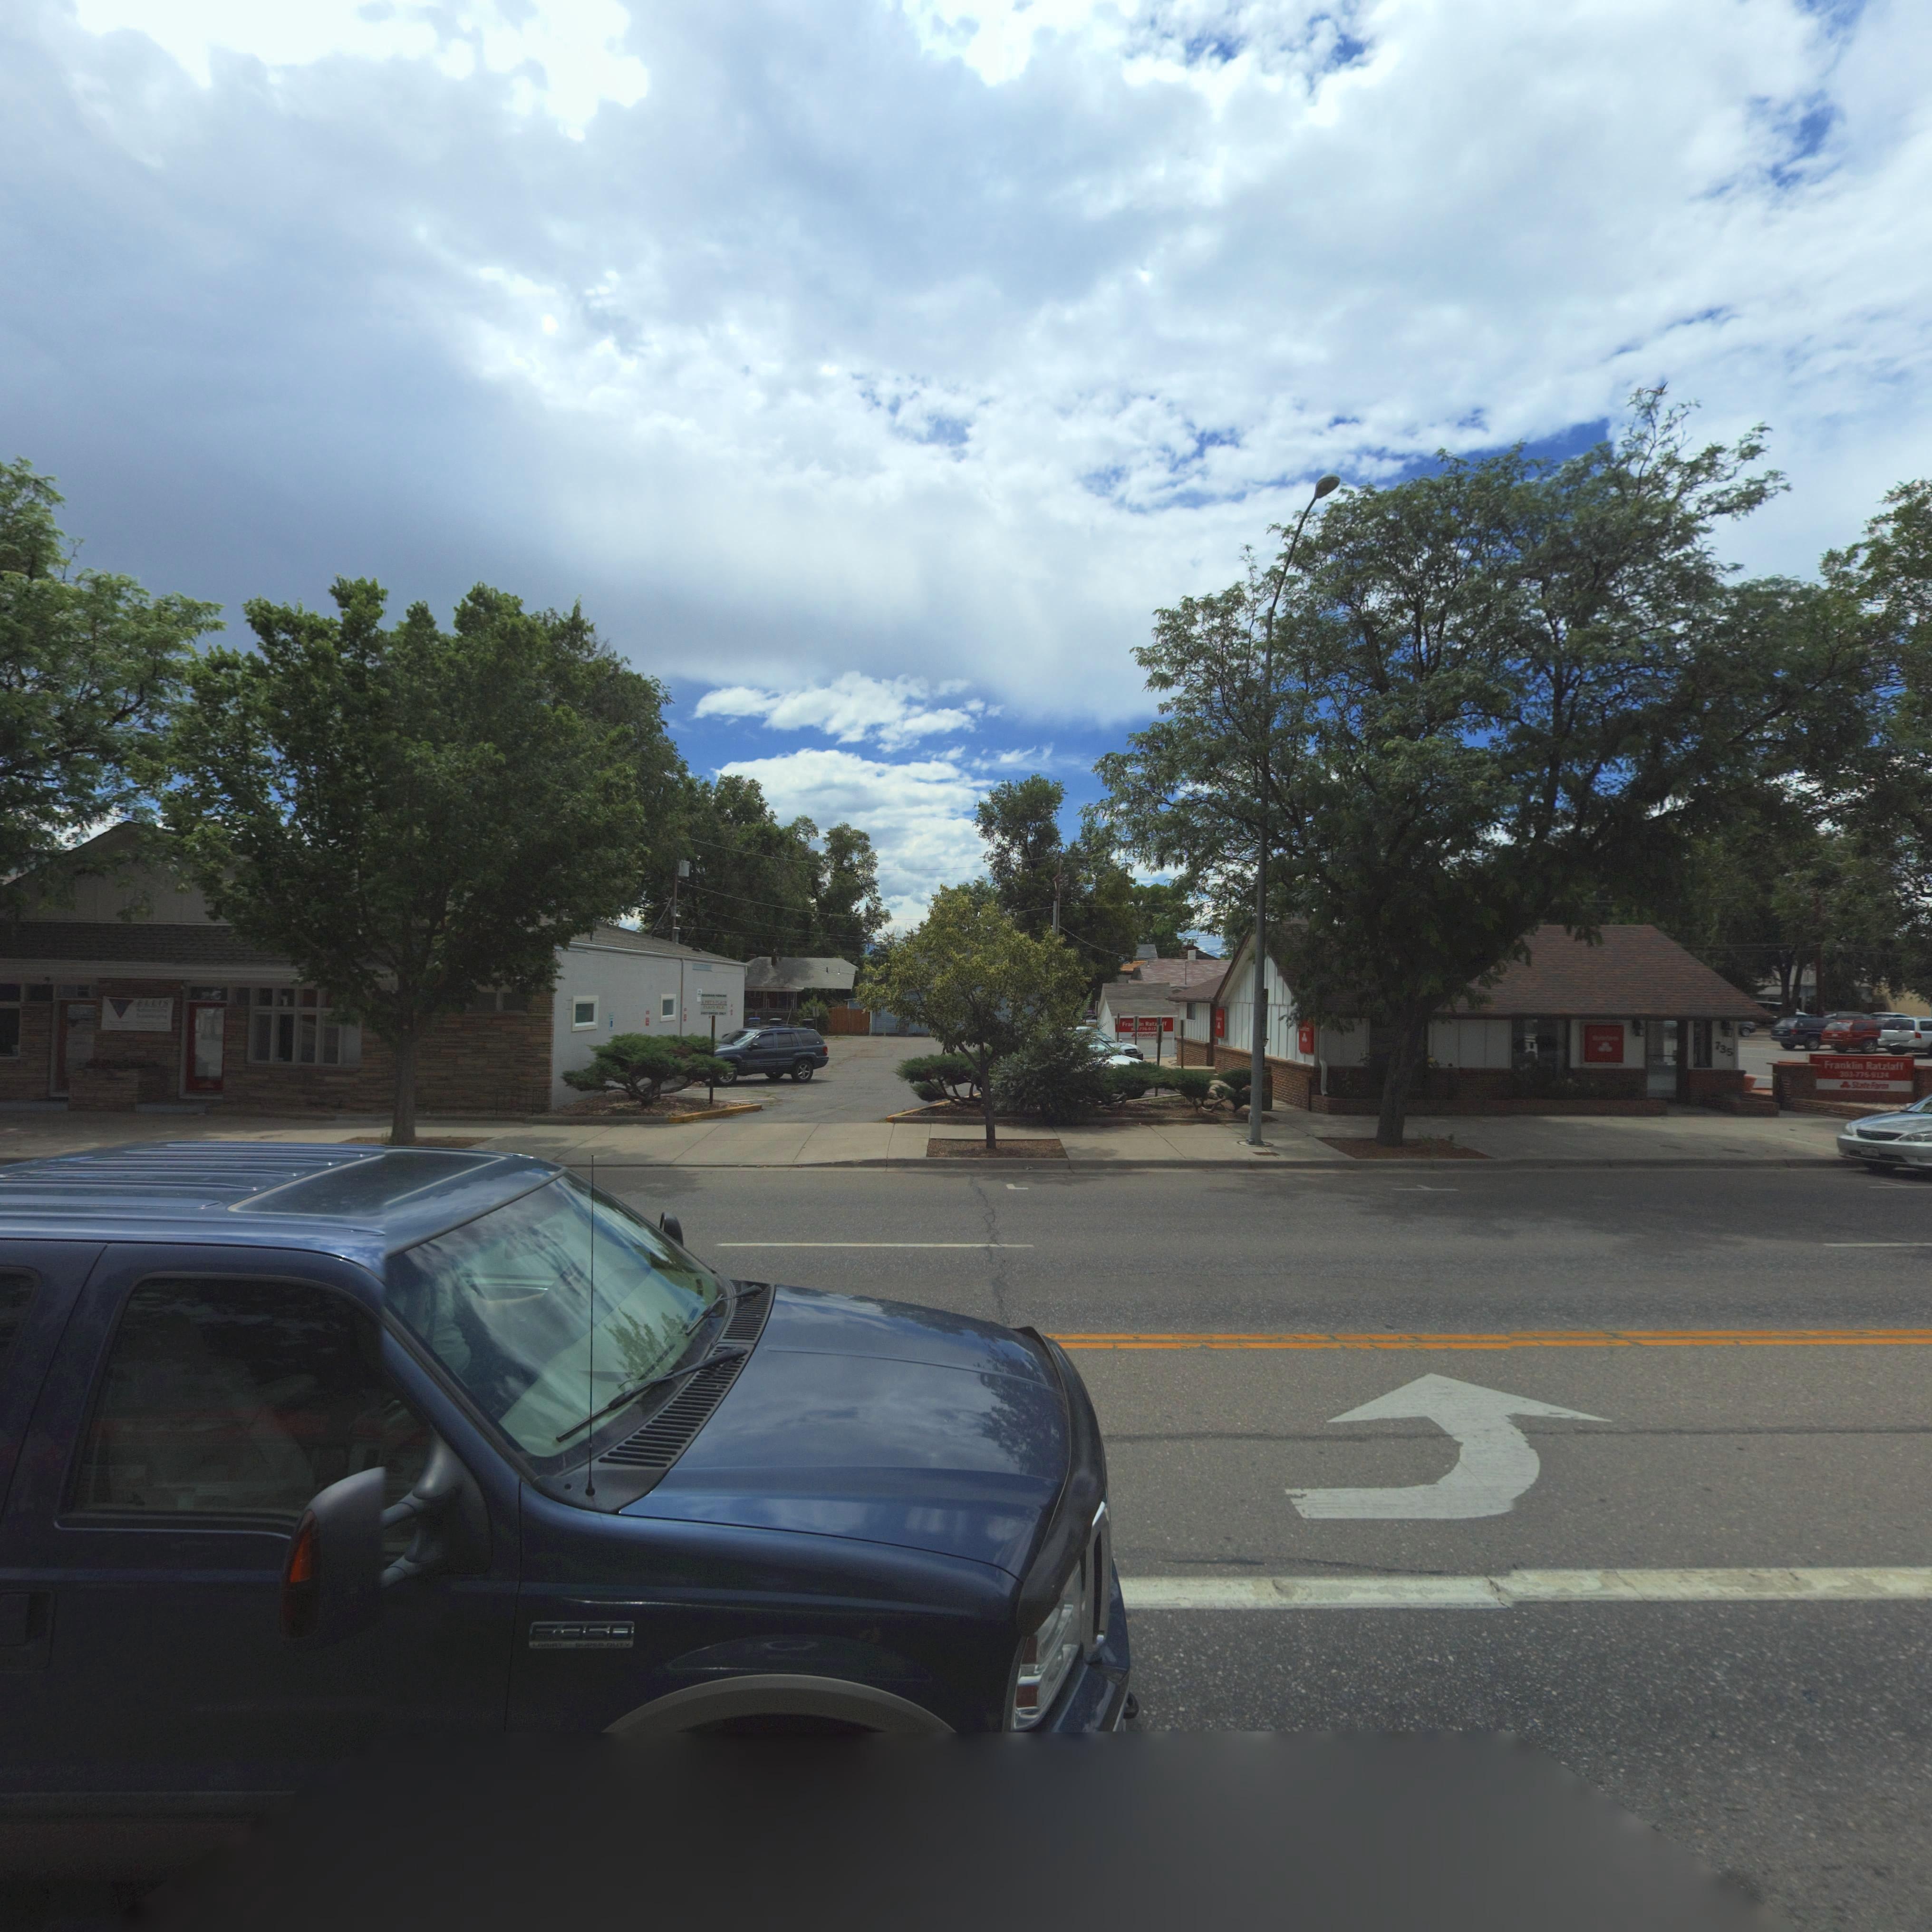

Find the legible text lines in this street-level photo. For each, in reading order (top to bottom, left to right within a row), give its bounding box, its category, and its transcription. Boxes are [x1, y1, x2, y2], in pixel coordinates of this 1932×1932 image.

[137, 999, 169, 1007] BusinessName: ELLIS
[701, 1000, 726, 1005] BusinessName: A PET'S PLACE
[703, 1005, 724, 1008] BusinessName: ELLIs ***
[1137, 1033, 1158, 1037] BusinessName: StateFar*
[1715, 1041, 1733, 1056] StreetNumber: 735
[1851, 1081, 1889, 1089] BusinessName: StateFarm